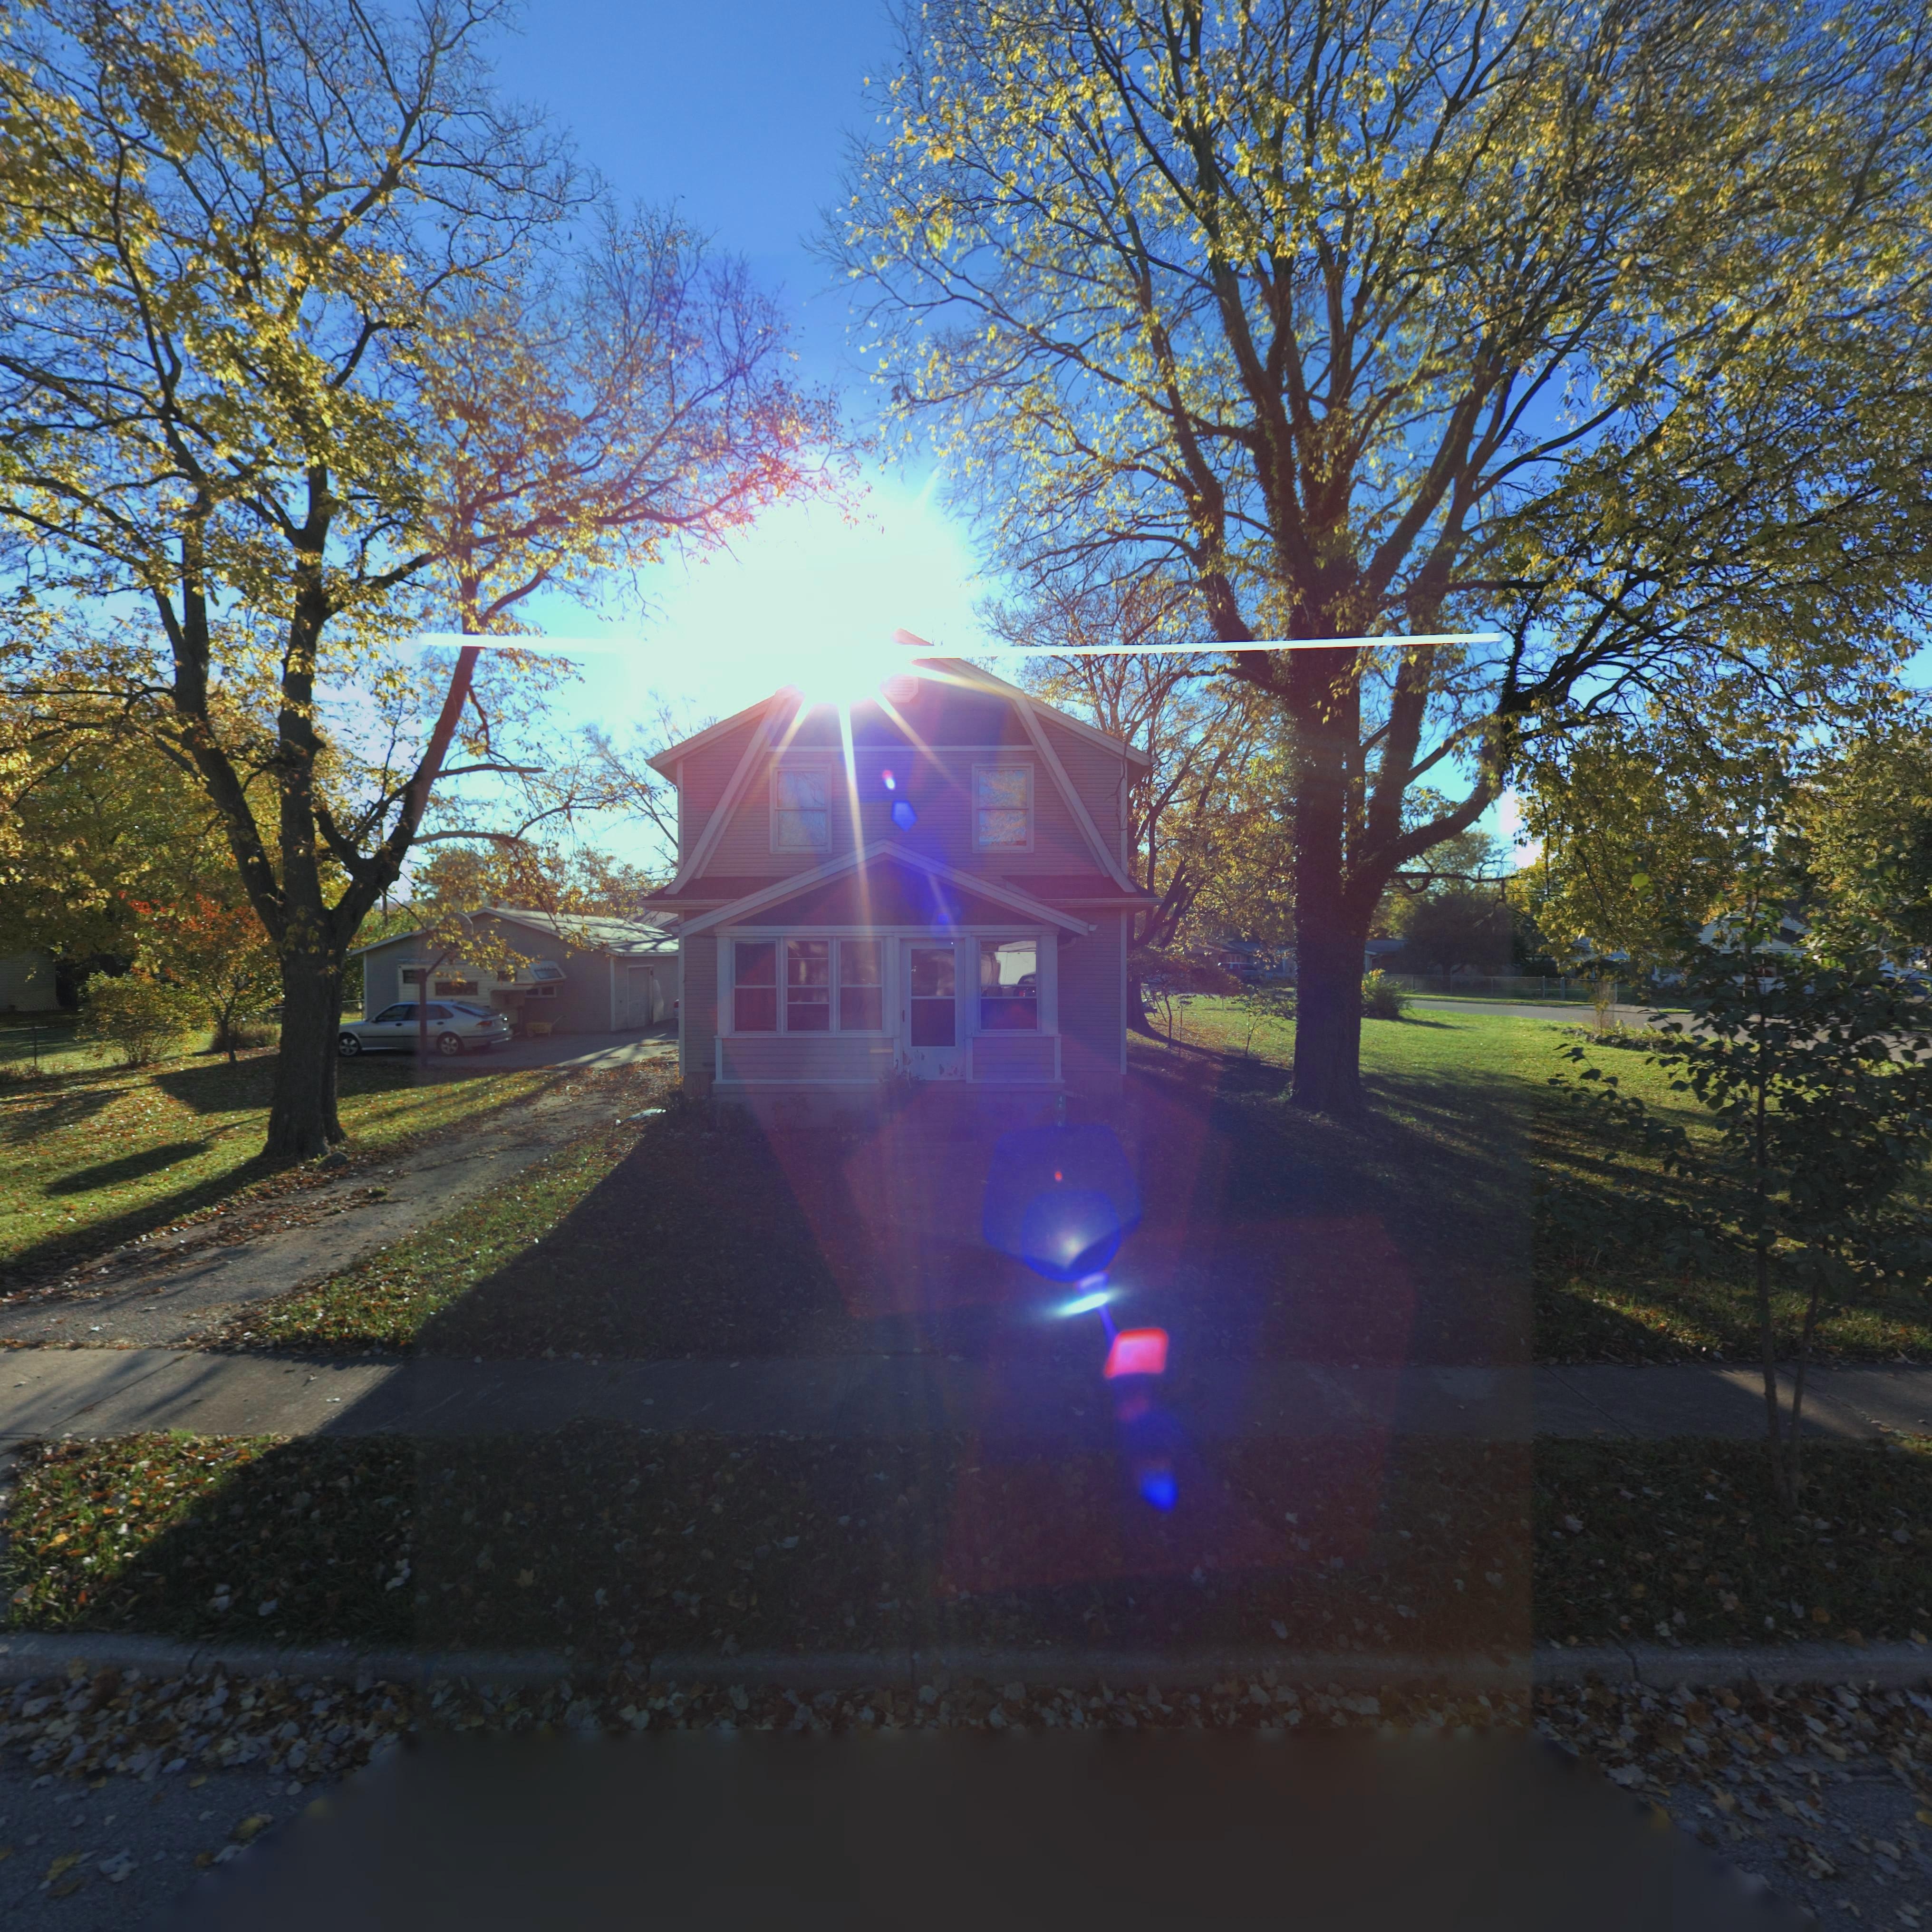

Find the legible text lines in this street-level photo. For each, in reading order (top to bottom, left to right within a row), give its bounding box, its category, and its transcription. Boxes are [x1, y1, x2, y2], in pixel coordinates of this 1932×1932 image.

[1057, 1095, 1063, 1127] StreetNumber: 45*6